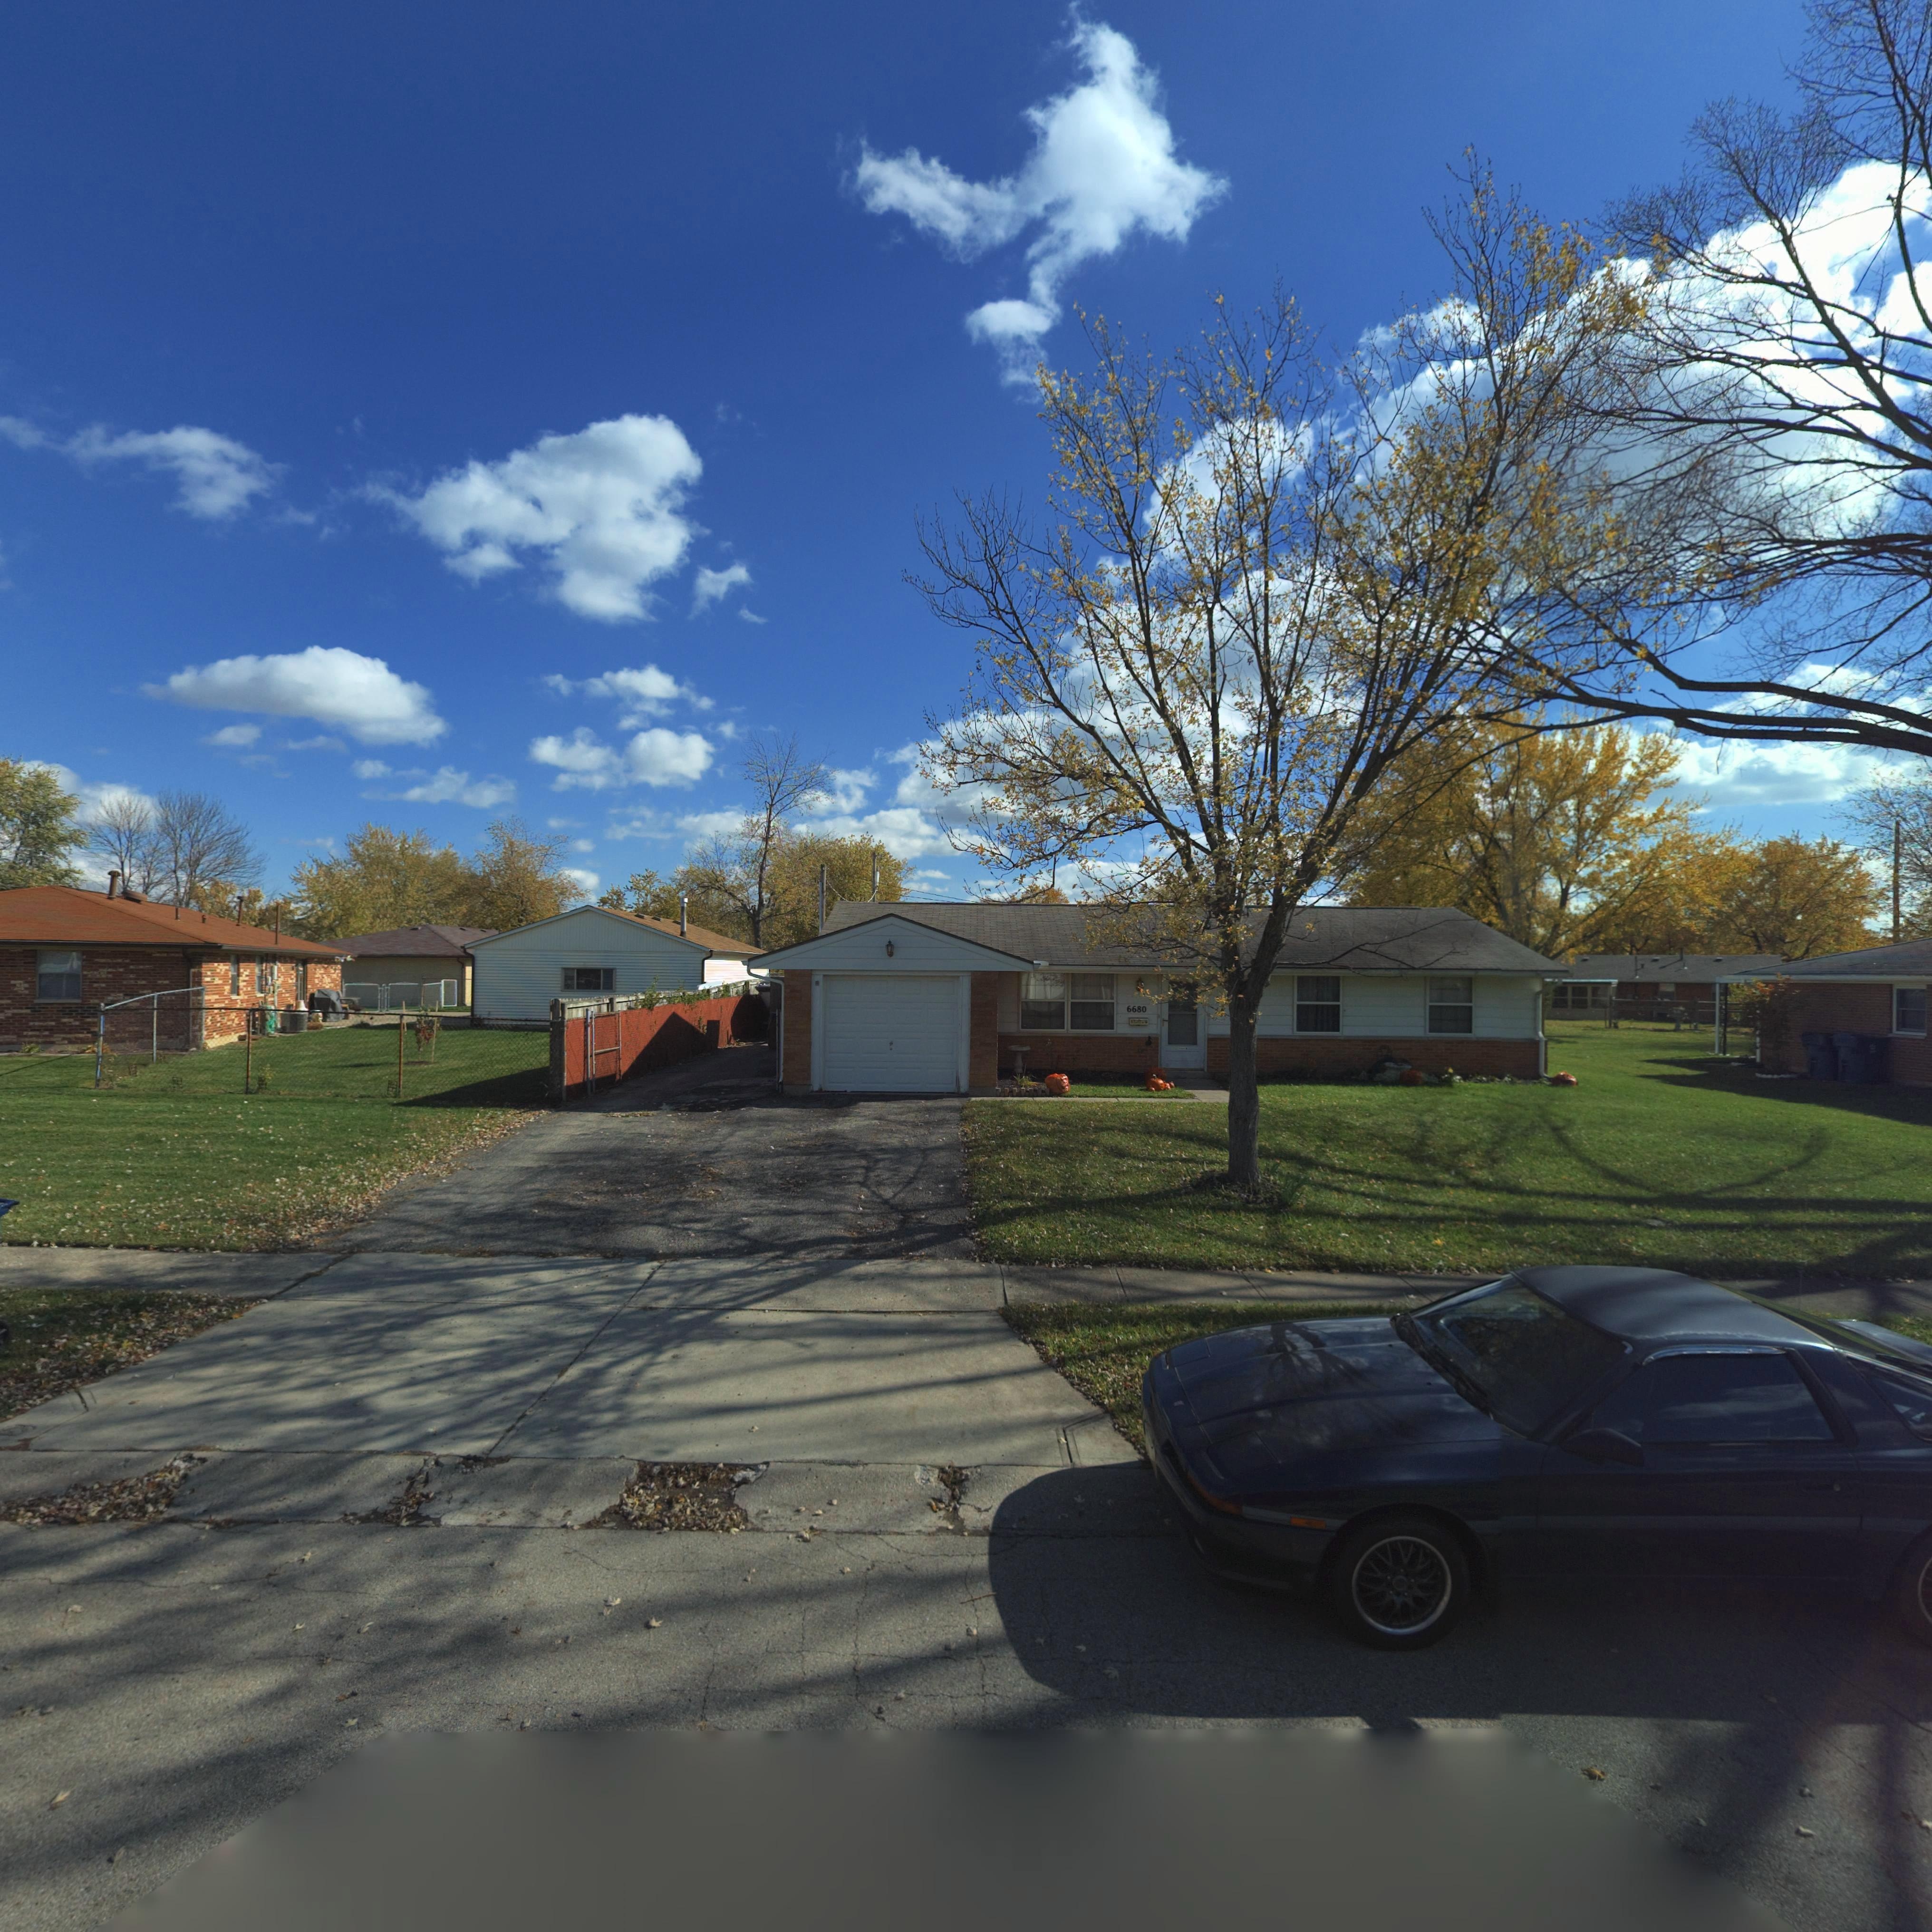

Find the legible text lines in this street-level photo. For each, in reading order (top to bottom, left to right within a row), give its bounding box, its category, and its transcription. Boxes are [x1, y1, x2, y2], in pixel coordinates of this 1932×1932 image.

[1126, 1005, 1147, 1013] StreetNumber: 6680